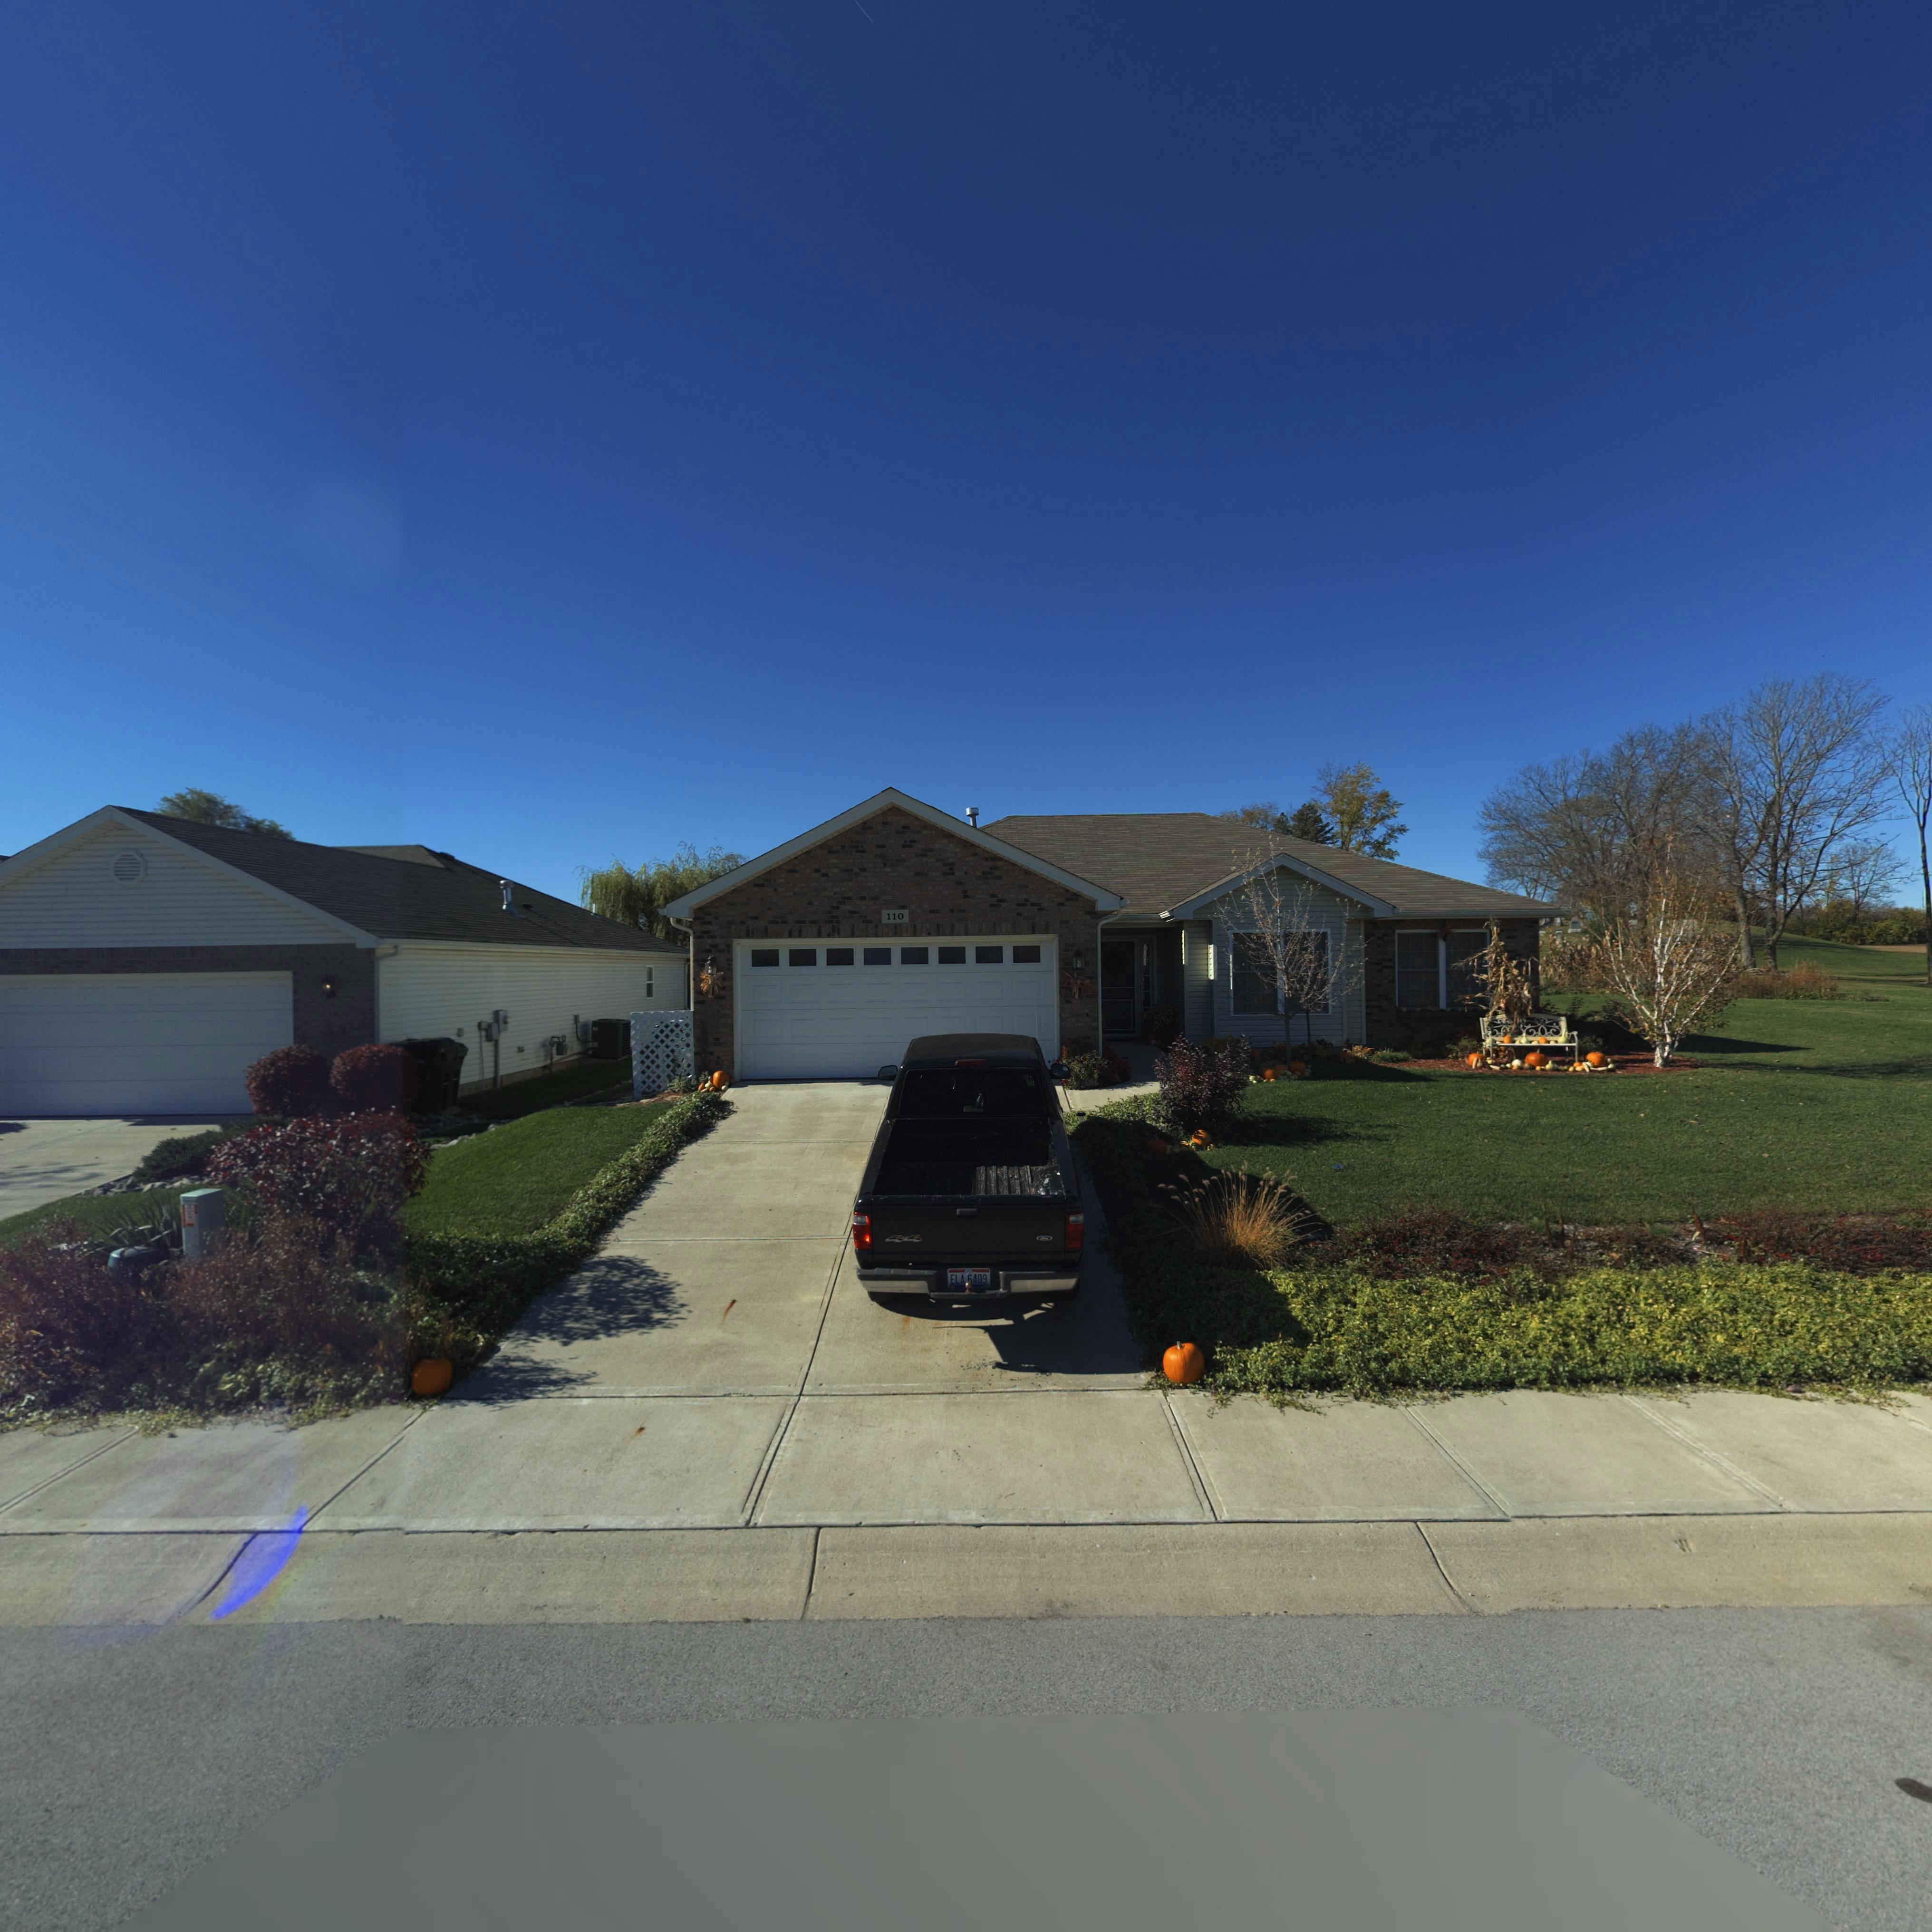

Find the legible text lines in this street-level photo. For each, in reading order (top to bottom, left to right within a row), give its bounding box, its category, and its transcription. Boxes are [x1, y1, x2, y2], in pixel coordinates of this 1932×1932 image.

[886, 912, 905, 921] StreetNumber: 110